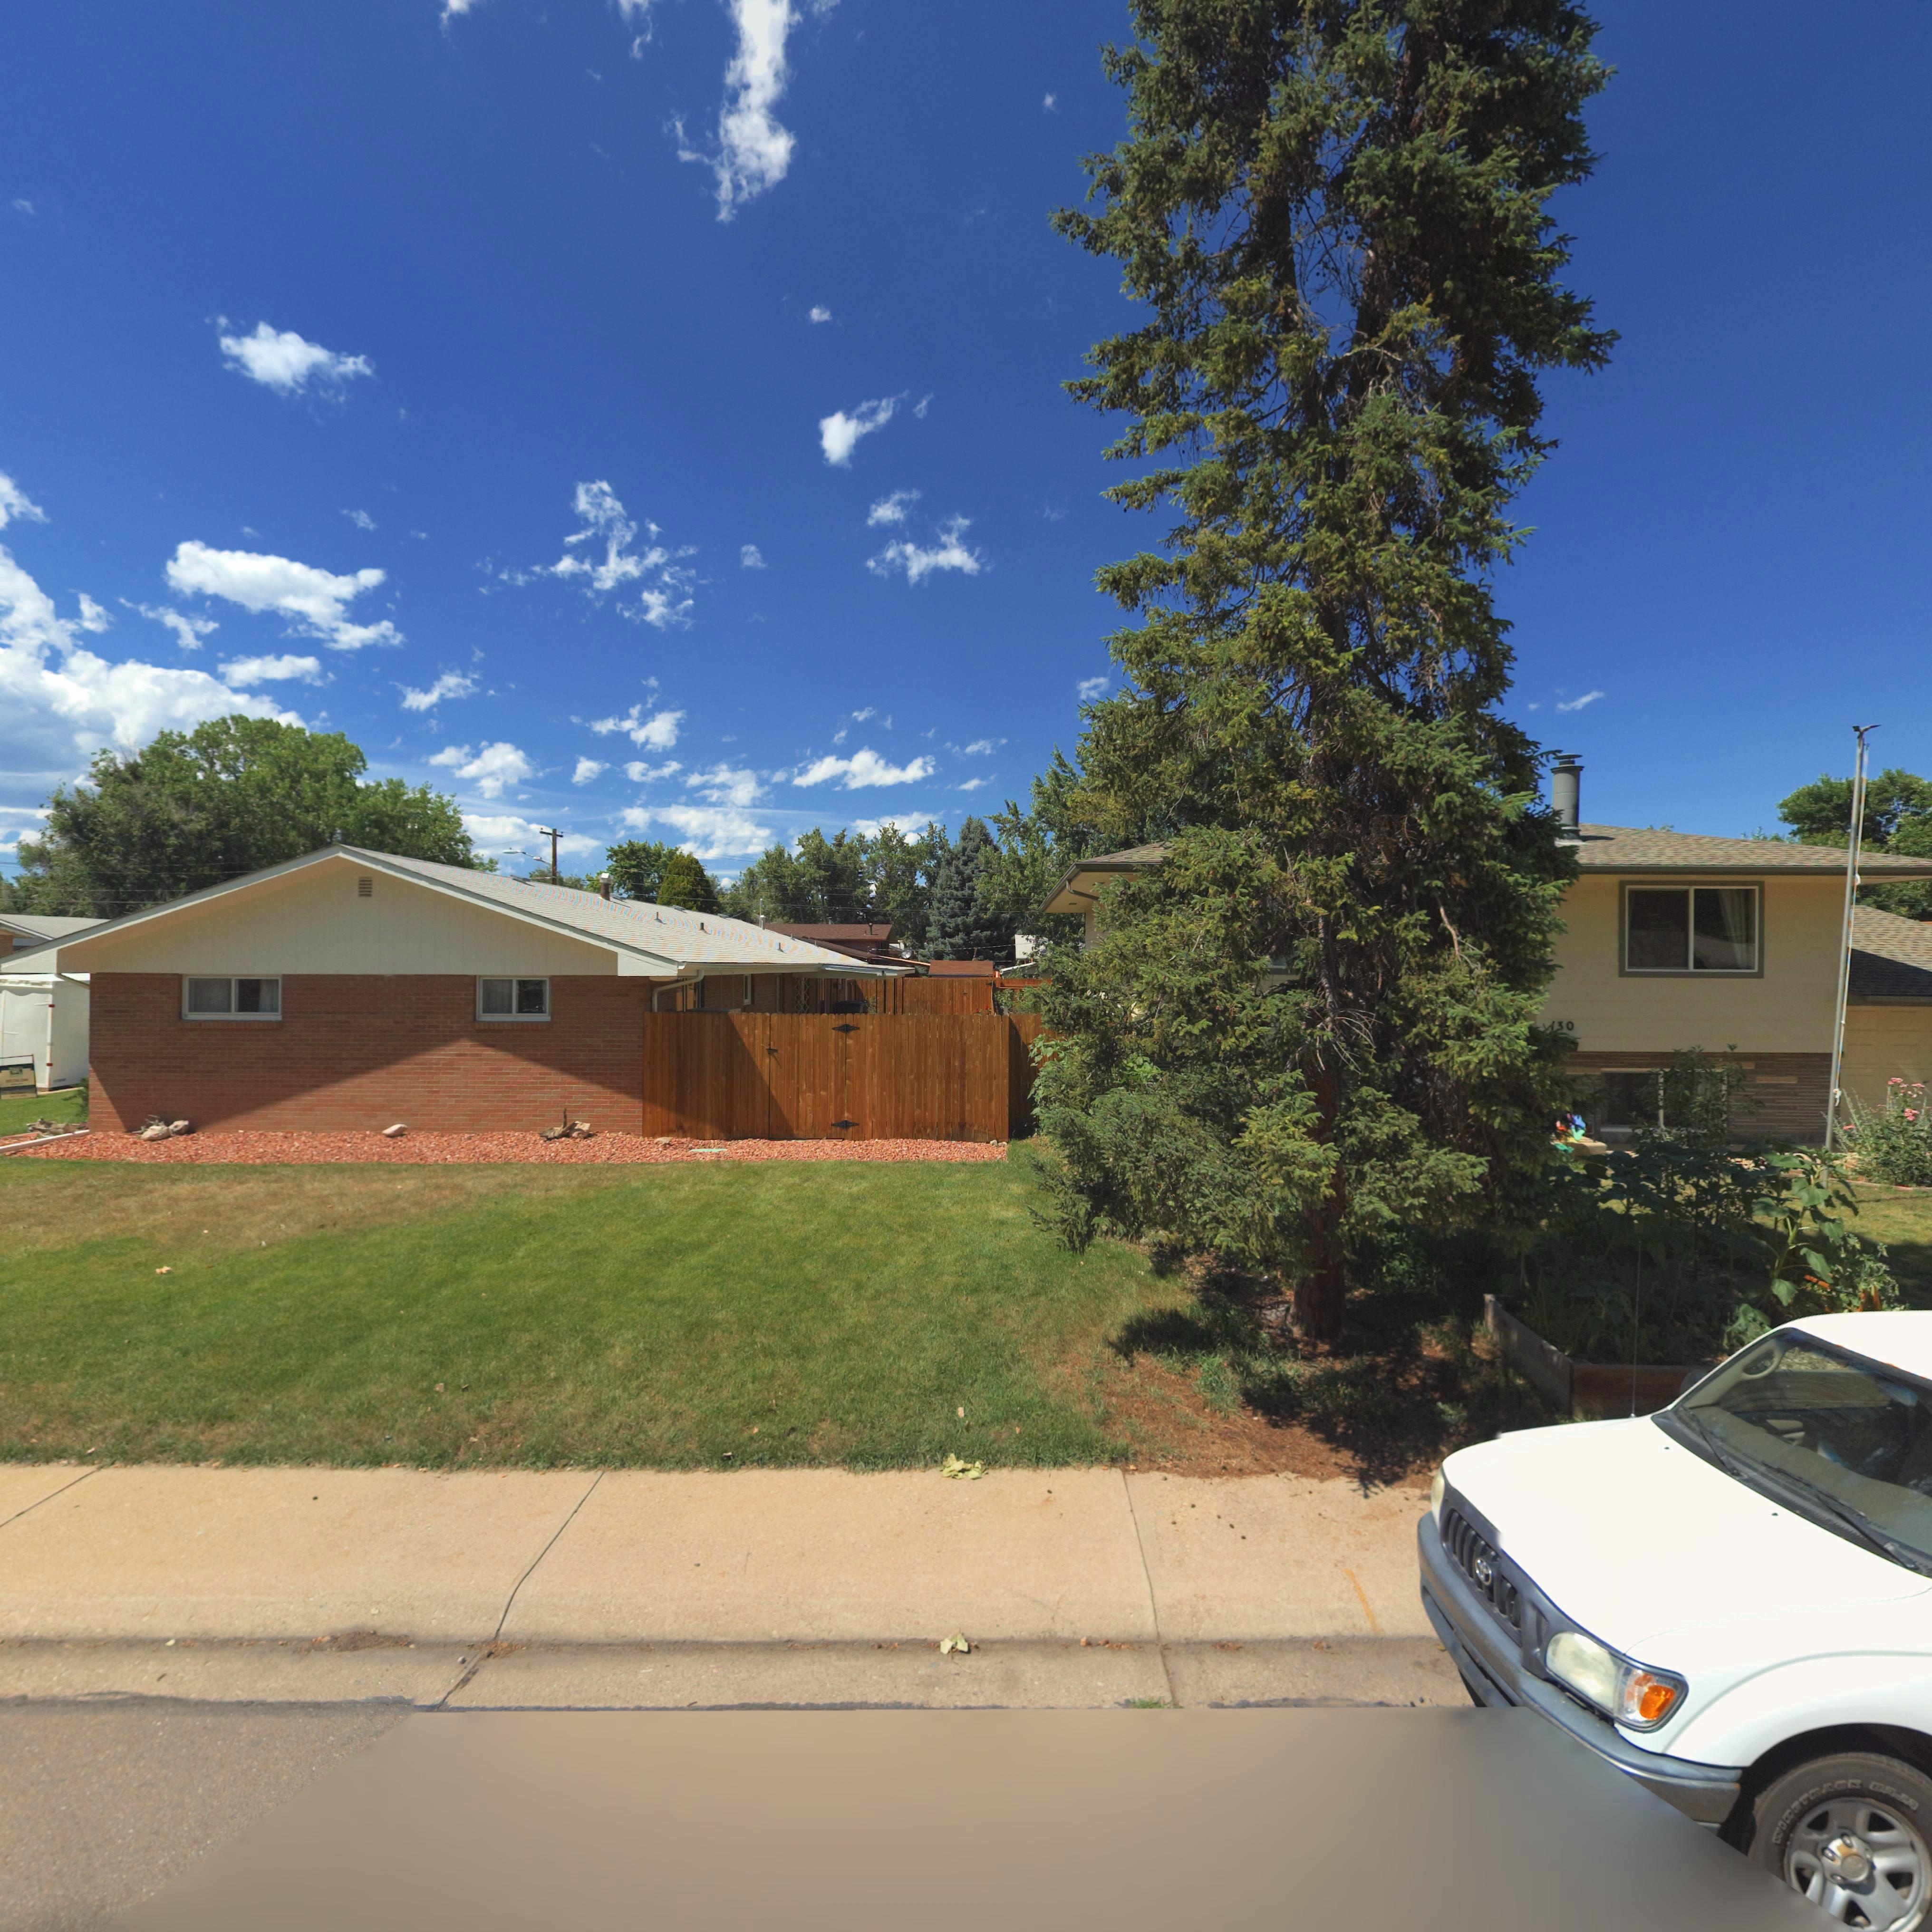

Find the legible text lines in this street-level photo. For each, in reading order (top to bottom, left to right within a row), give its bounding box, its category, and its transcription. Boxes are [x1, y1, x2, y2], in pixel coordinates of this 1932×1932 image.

[1550, 1020, 1574, 1032] StreetNumber: 130